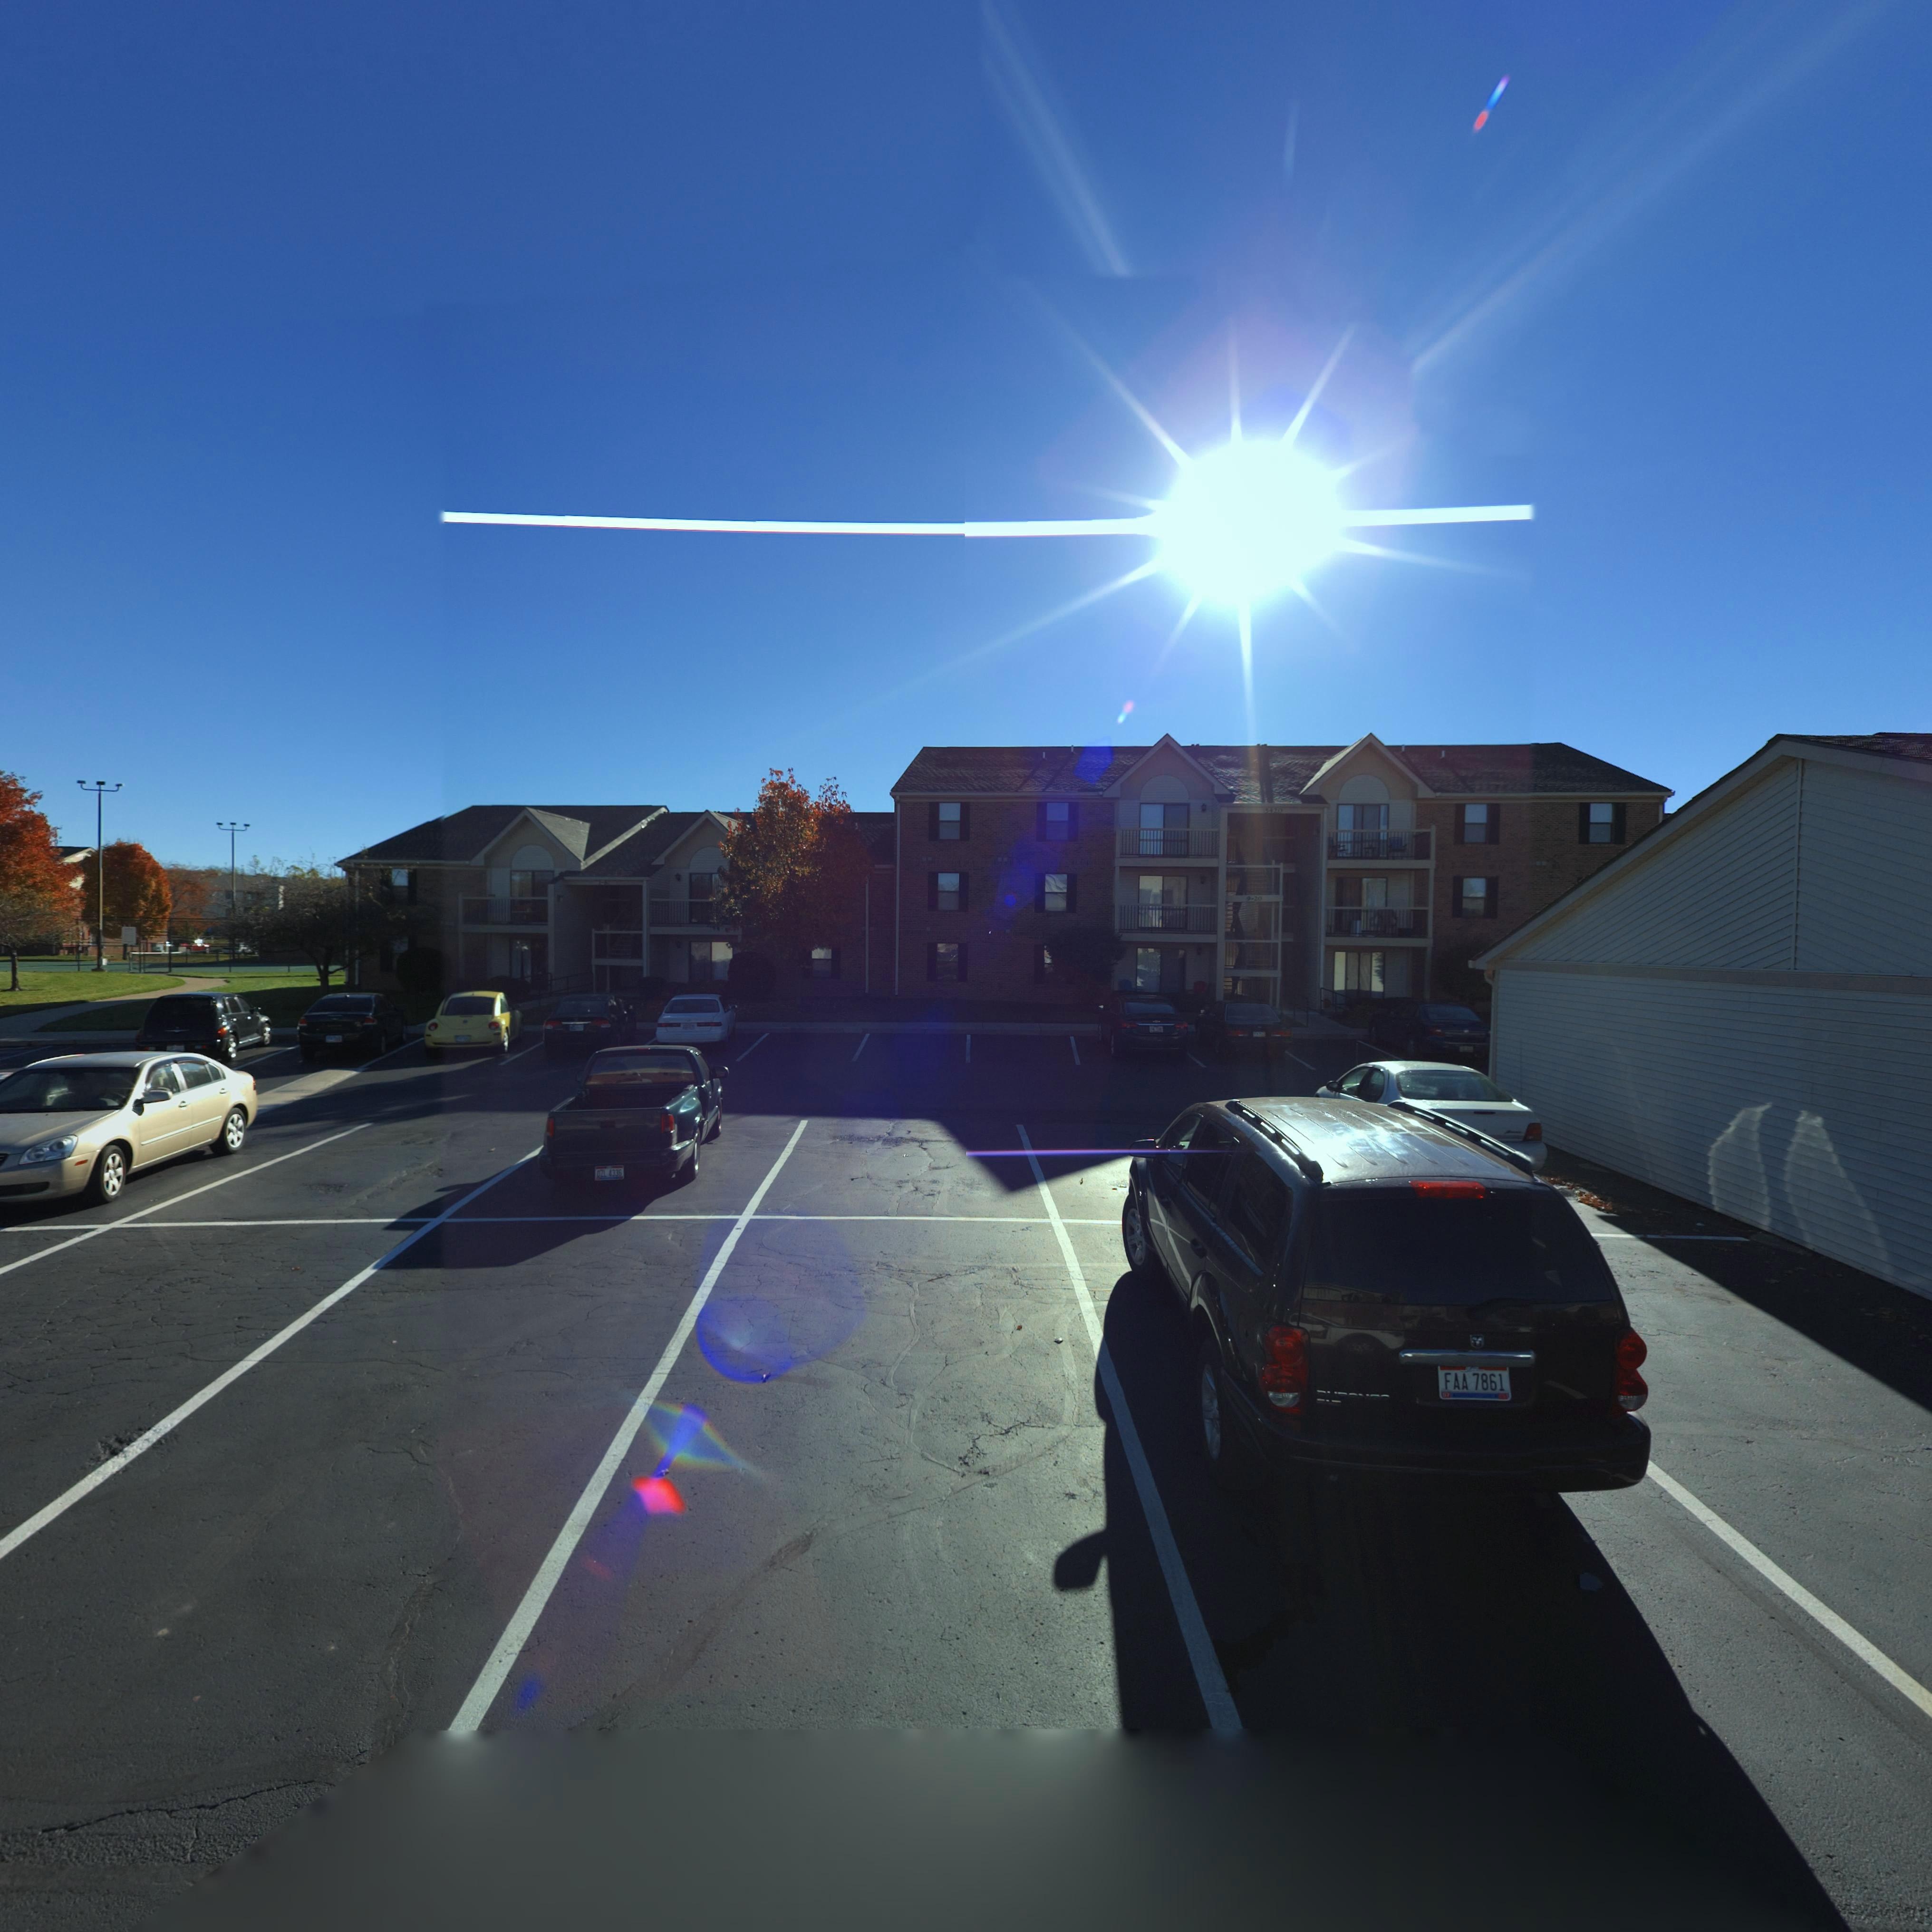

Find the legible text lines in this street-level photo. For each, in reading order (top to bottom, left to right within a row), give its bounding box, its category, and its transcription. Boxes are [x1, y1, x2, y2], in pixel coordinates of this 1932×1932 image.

[1263, 807, 1282, 813] StreetNumber: 5420
[598, 879, 607, 884] StreetNumber: 1-8
[1246, 895, 1262, 901] StreetNumber: 9-20